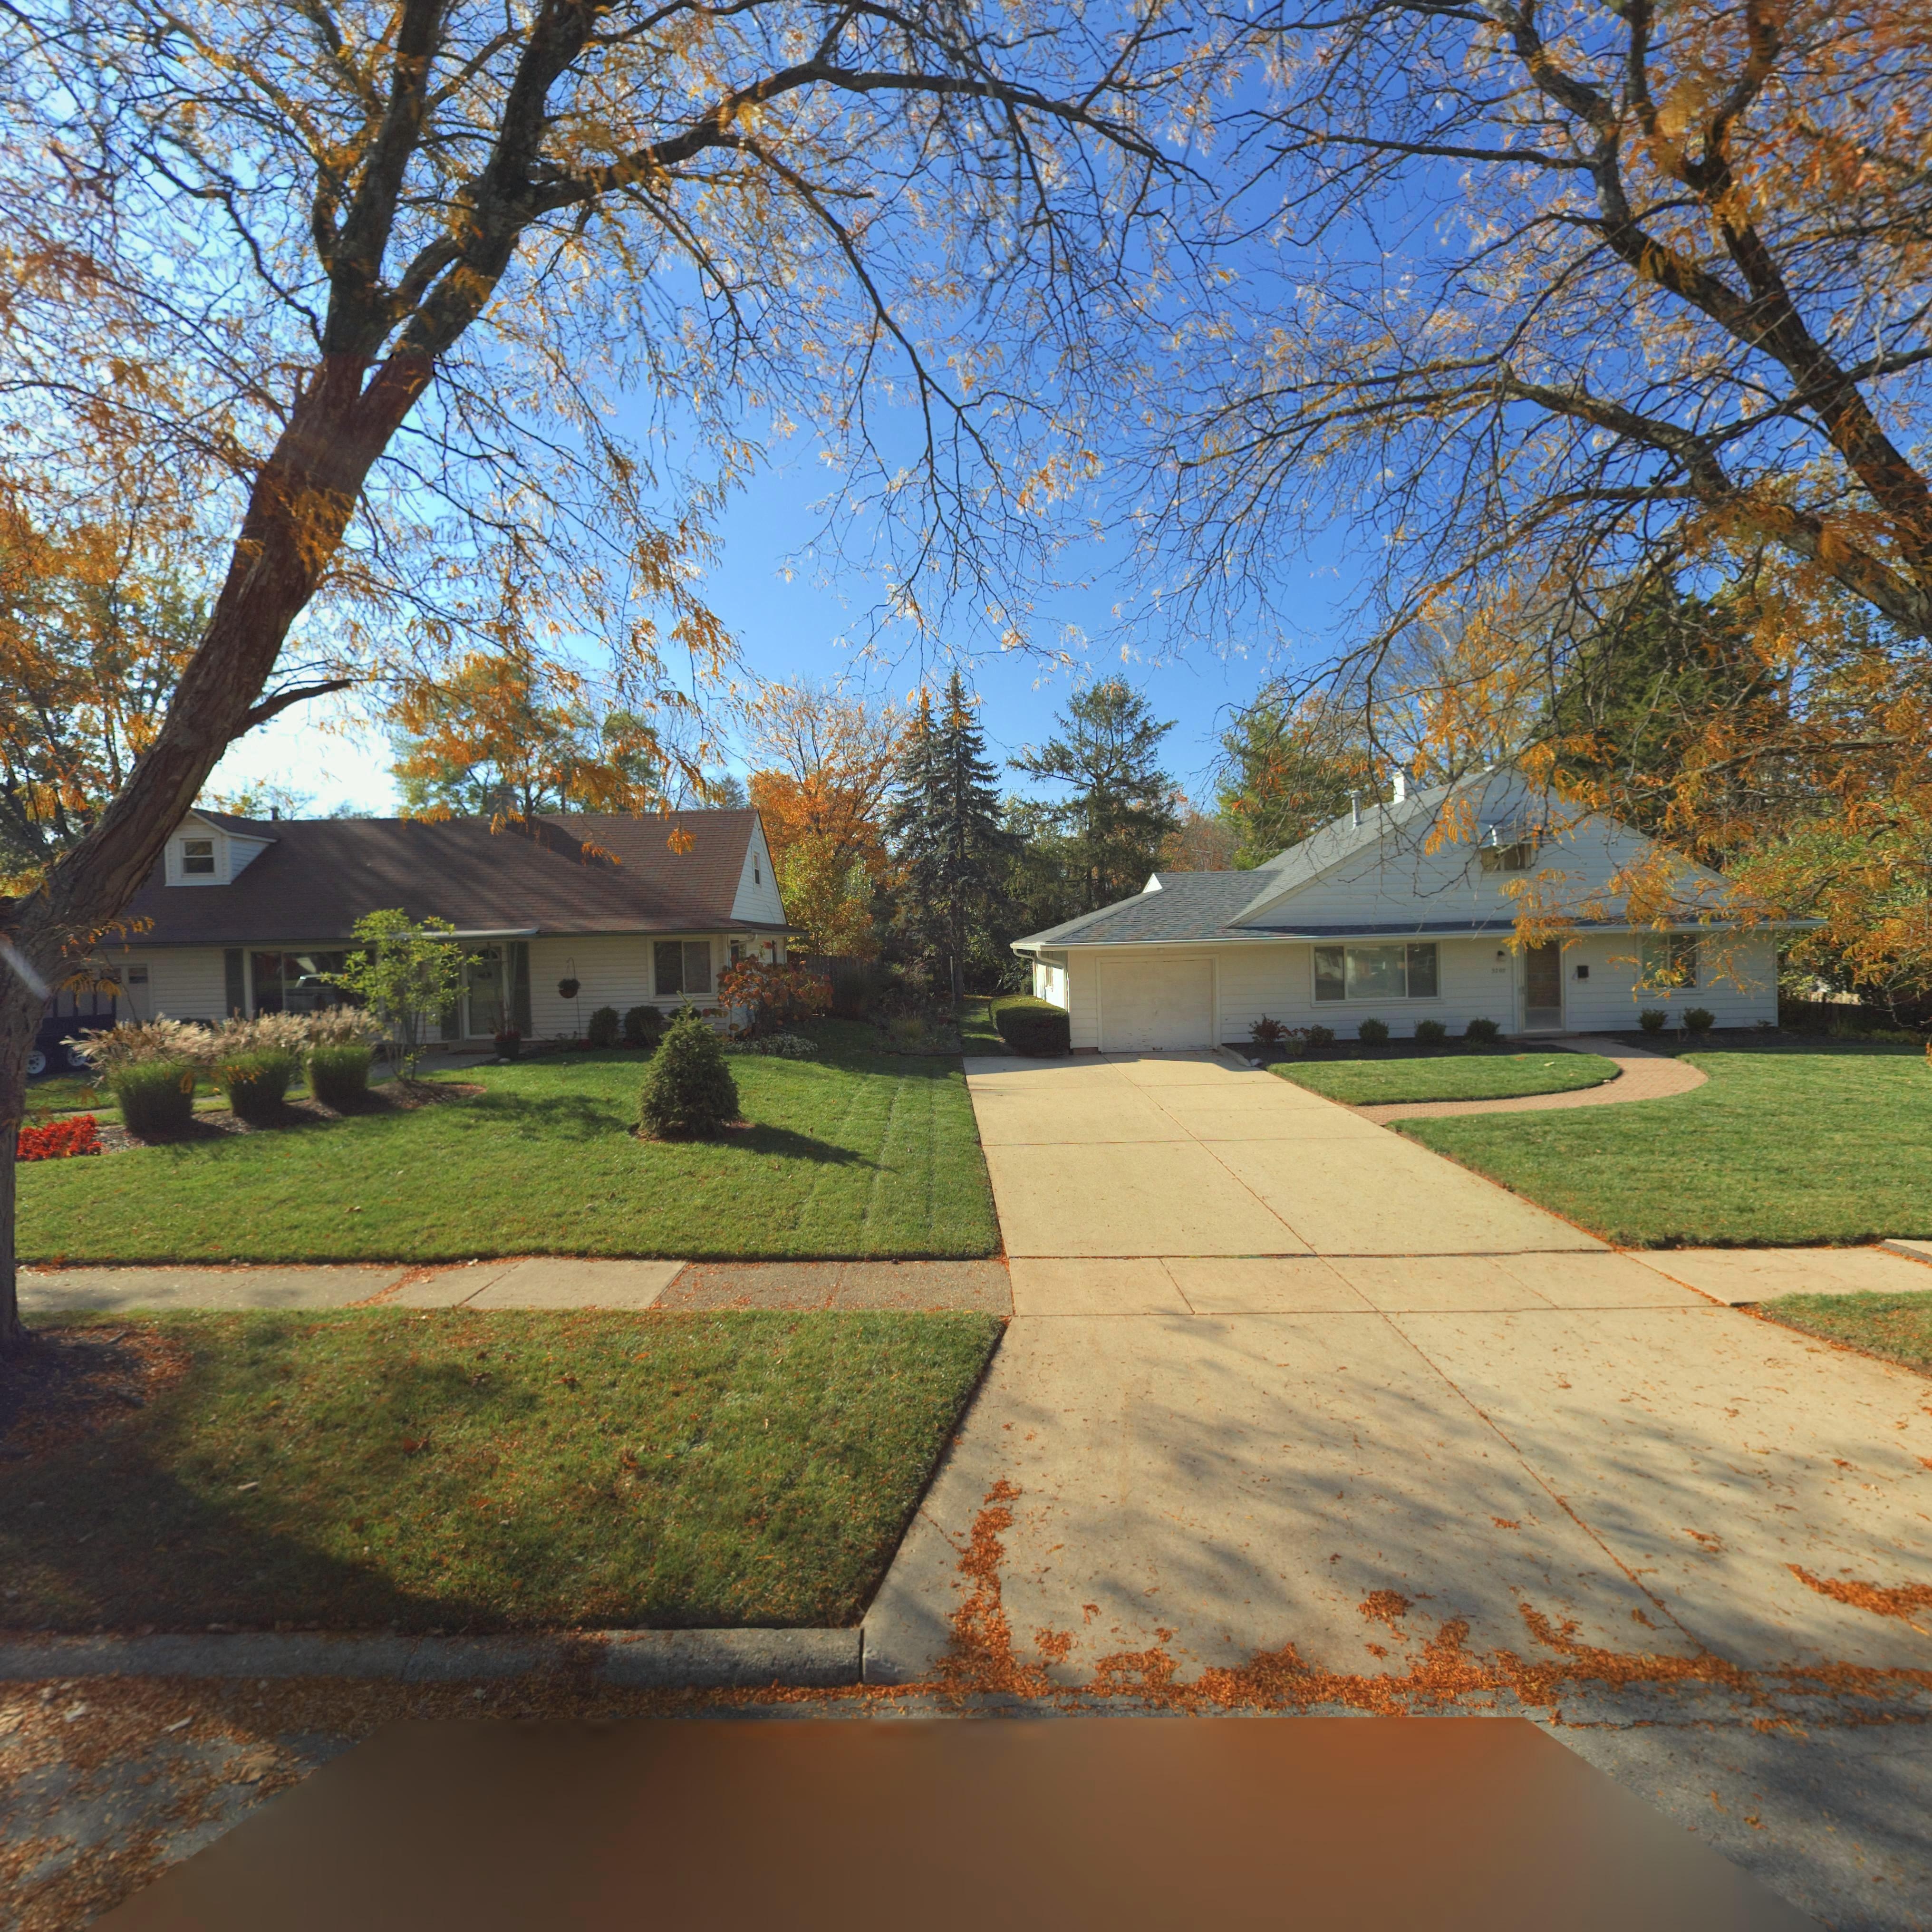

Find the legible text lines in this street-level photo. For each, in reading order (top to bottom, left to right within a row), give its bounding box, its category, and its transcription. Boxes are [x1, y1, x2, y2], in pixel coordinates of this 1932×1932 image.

[1489, 968, 1507, 974] StreetNumber: 3707